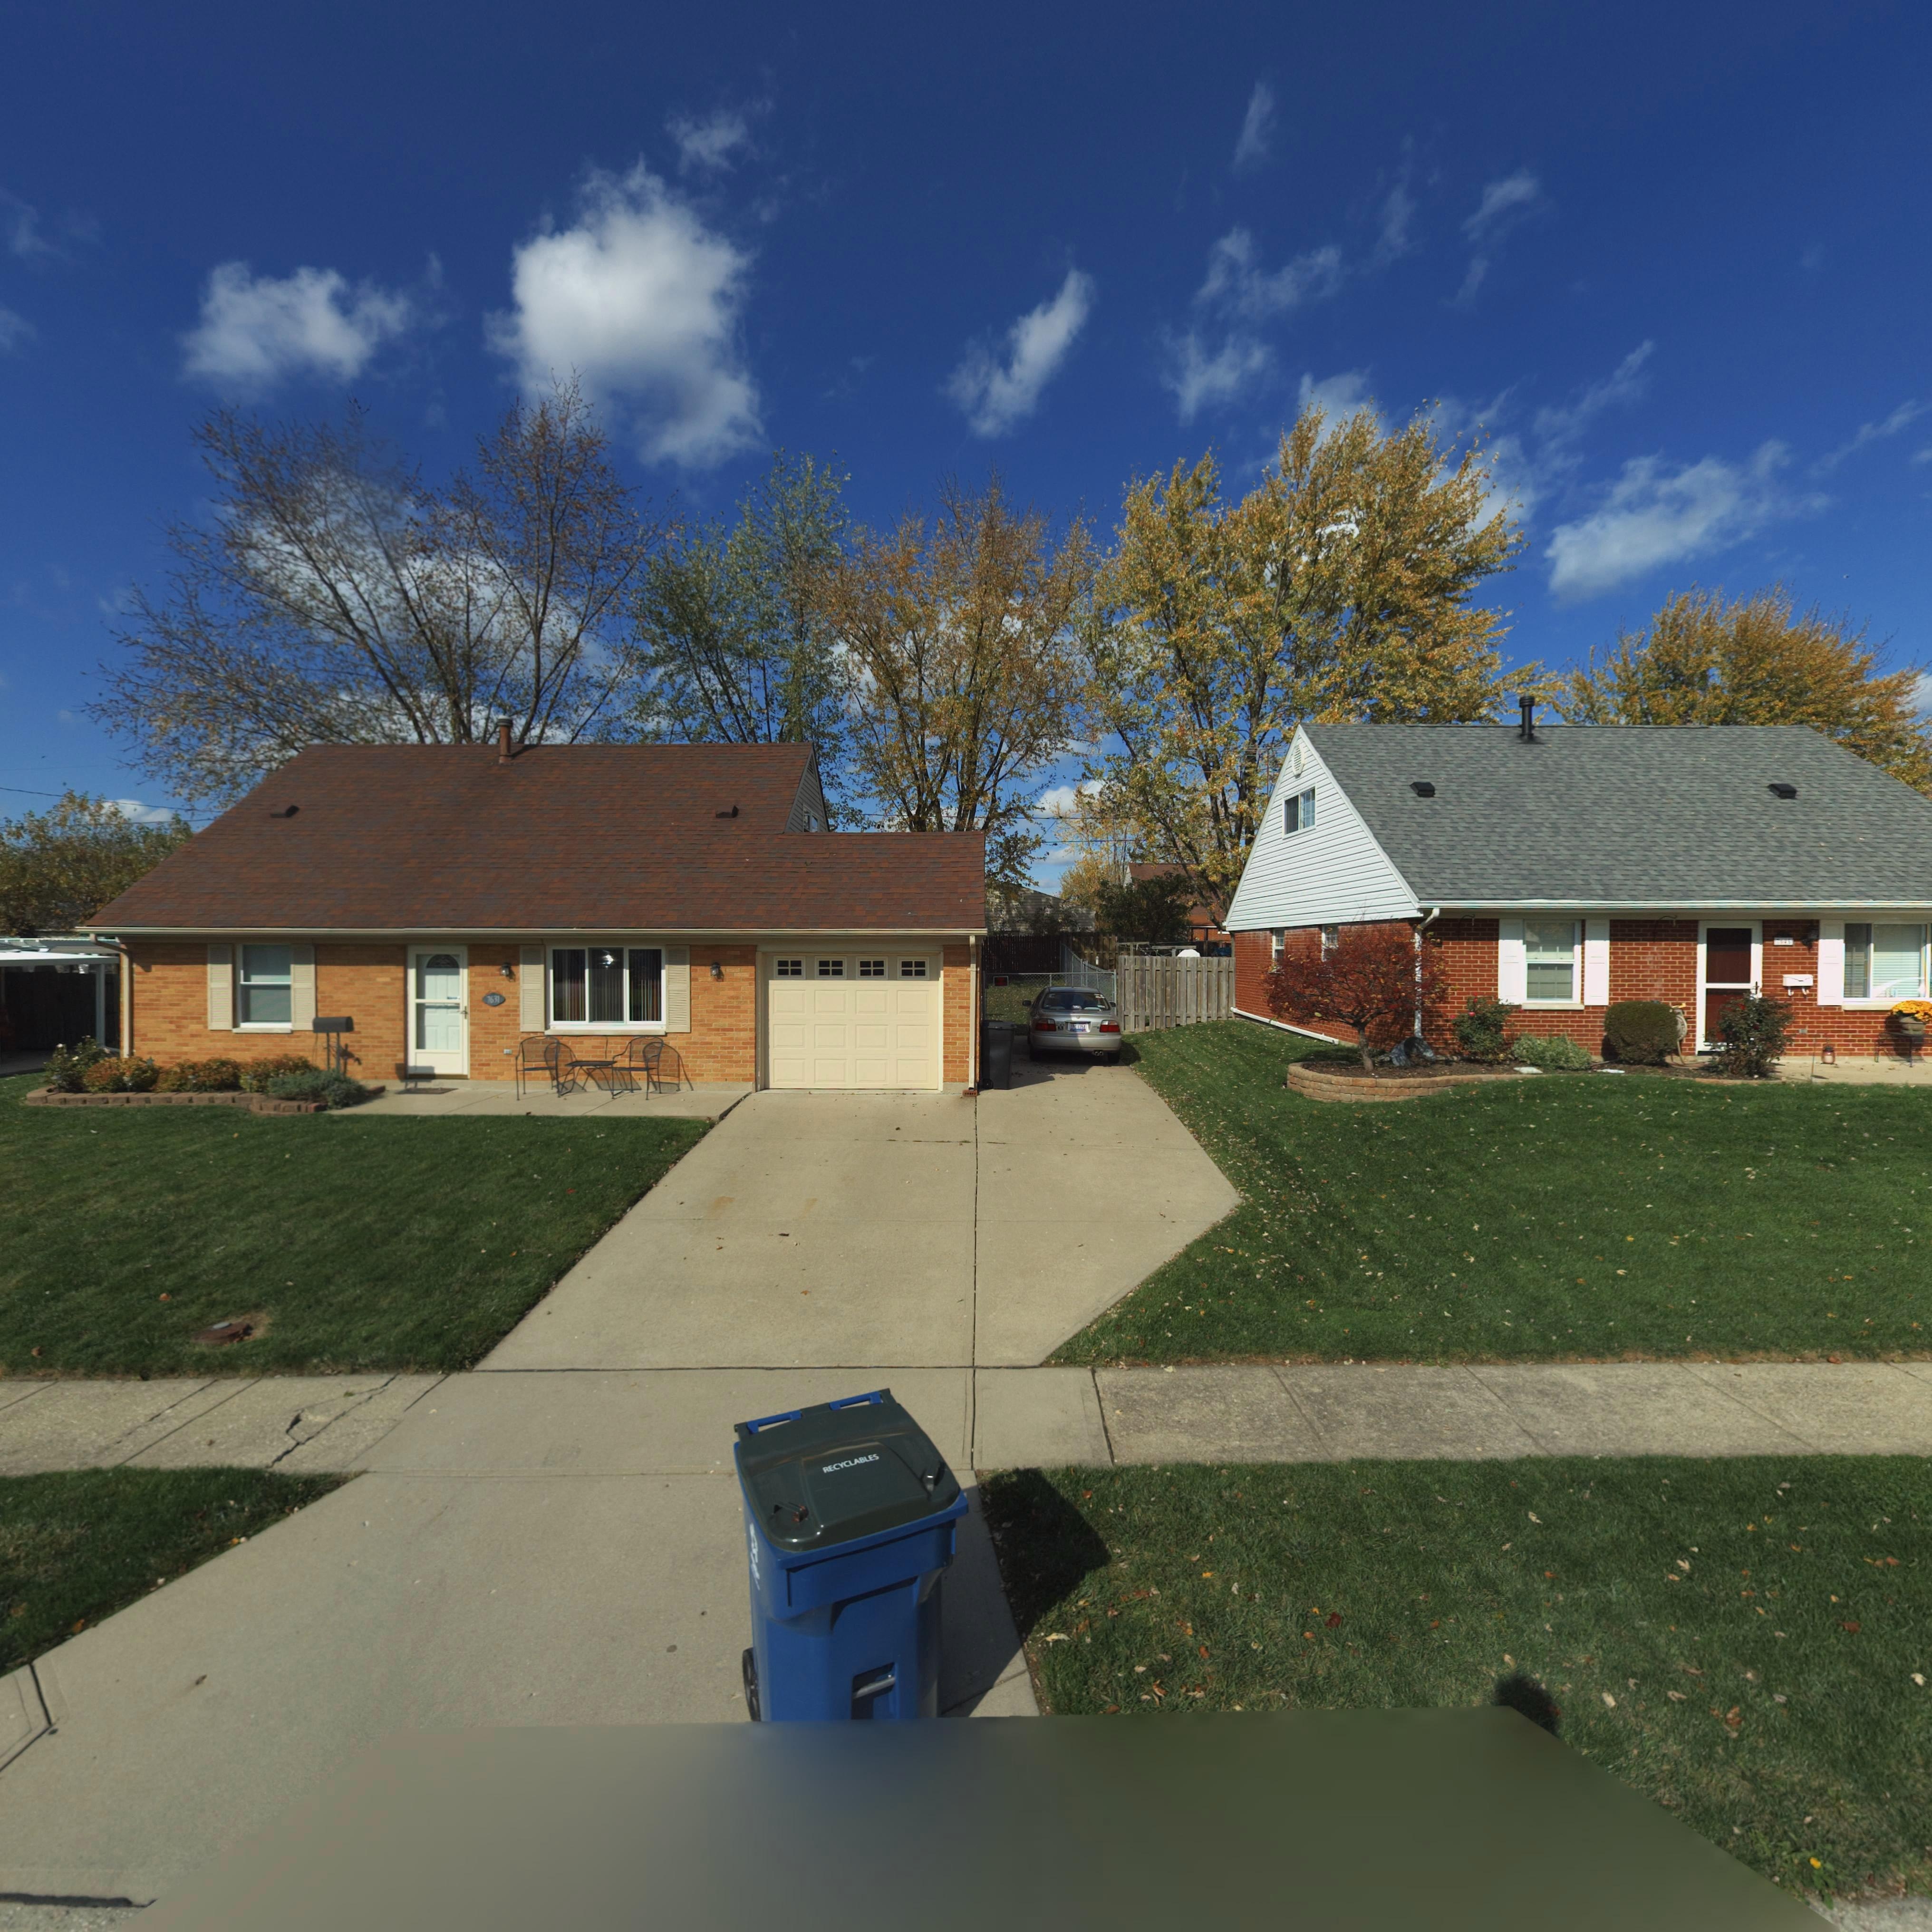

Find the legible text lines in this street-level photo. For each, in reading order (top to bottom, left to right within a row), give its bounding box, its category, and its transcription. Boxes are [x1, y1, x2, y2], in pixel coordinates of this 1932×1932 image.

[1775, 938, 1791, 944] StreetNumber: 76*5
[486, 995, 500, 1004] StreetNumber: 7631